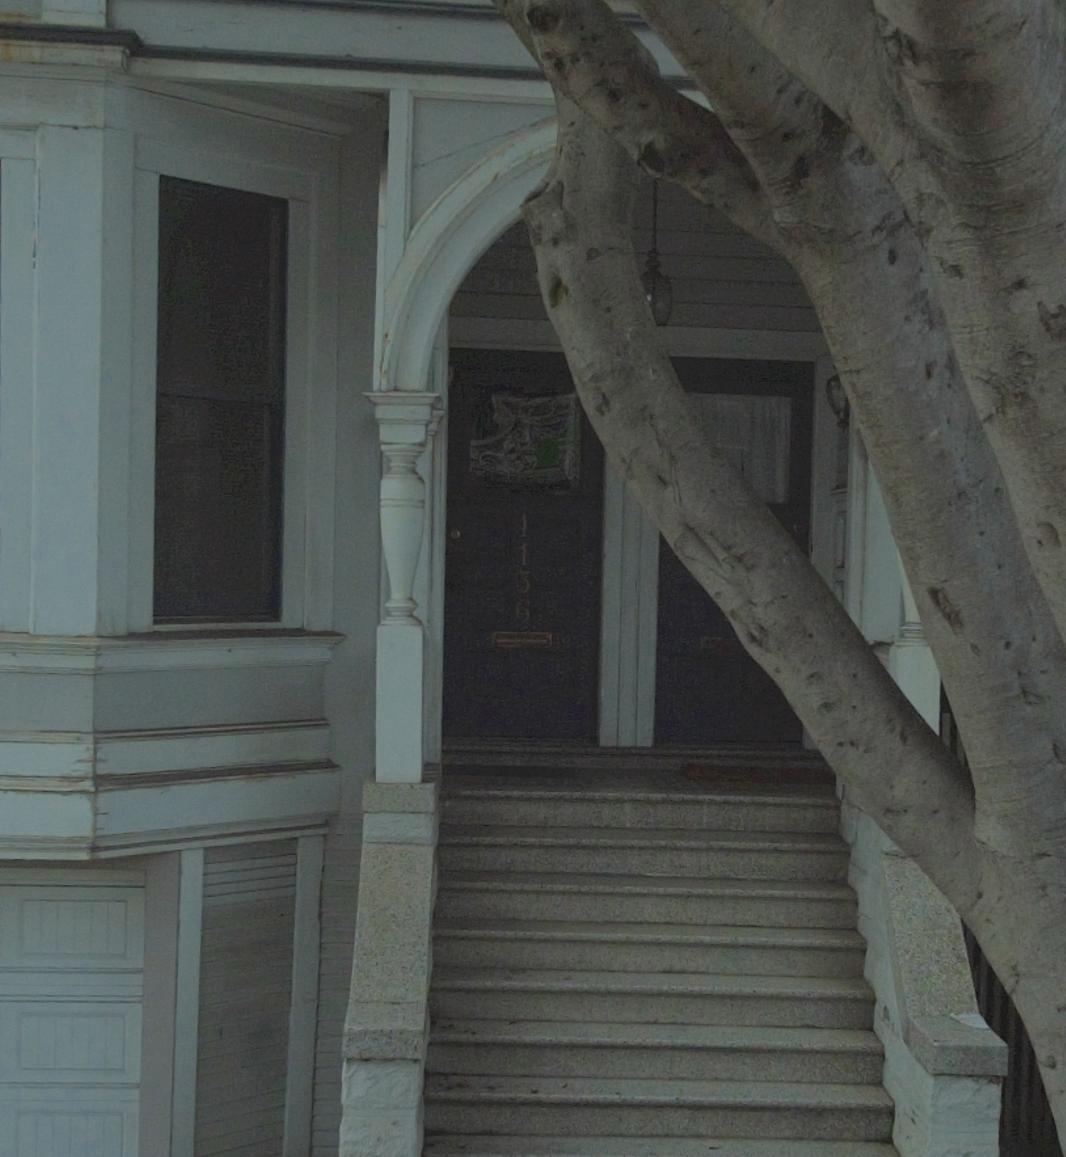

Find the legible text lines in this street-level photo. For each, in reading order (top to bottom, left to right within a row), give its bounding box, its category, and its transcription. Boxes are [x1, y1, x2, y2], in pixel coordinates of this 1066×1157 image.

[513, 508, 534, 624] StreetNumber: 1136